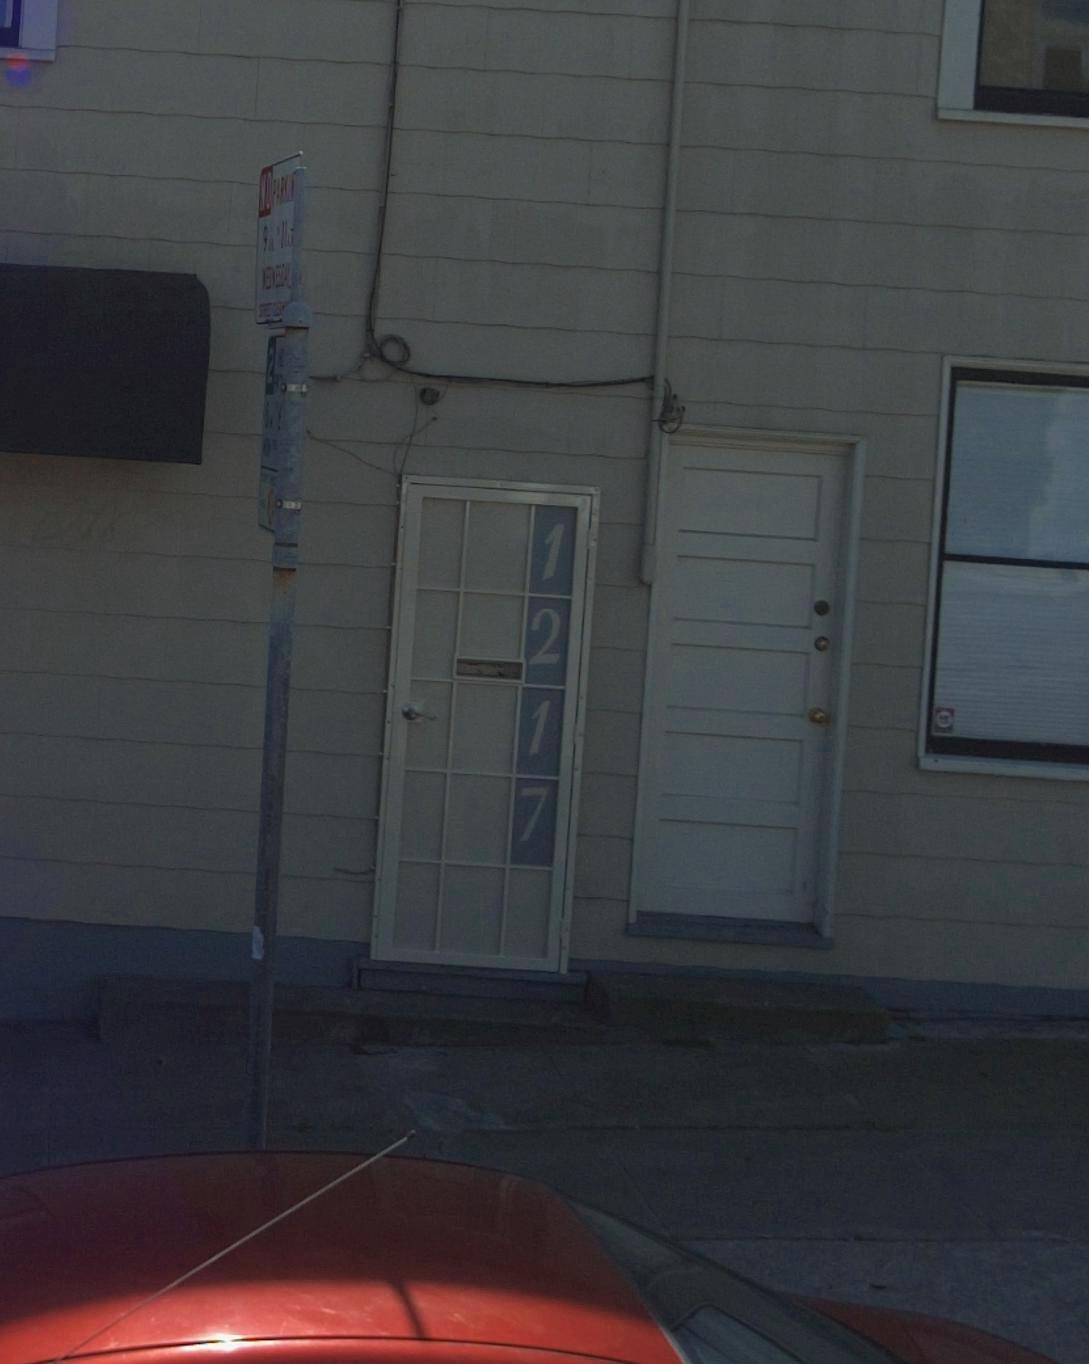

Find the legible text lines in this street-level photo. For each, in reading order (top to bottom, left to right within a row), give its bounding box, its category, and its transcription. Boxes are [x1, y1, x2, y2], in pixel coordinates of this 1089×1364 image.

[258, 170, 290, 215] None: NO PARK
[261, 222, 270, 254] None: 9
[265, 344, 277, 385] None: 2
[512, 517, 571, 847] StreetNumber: 1217